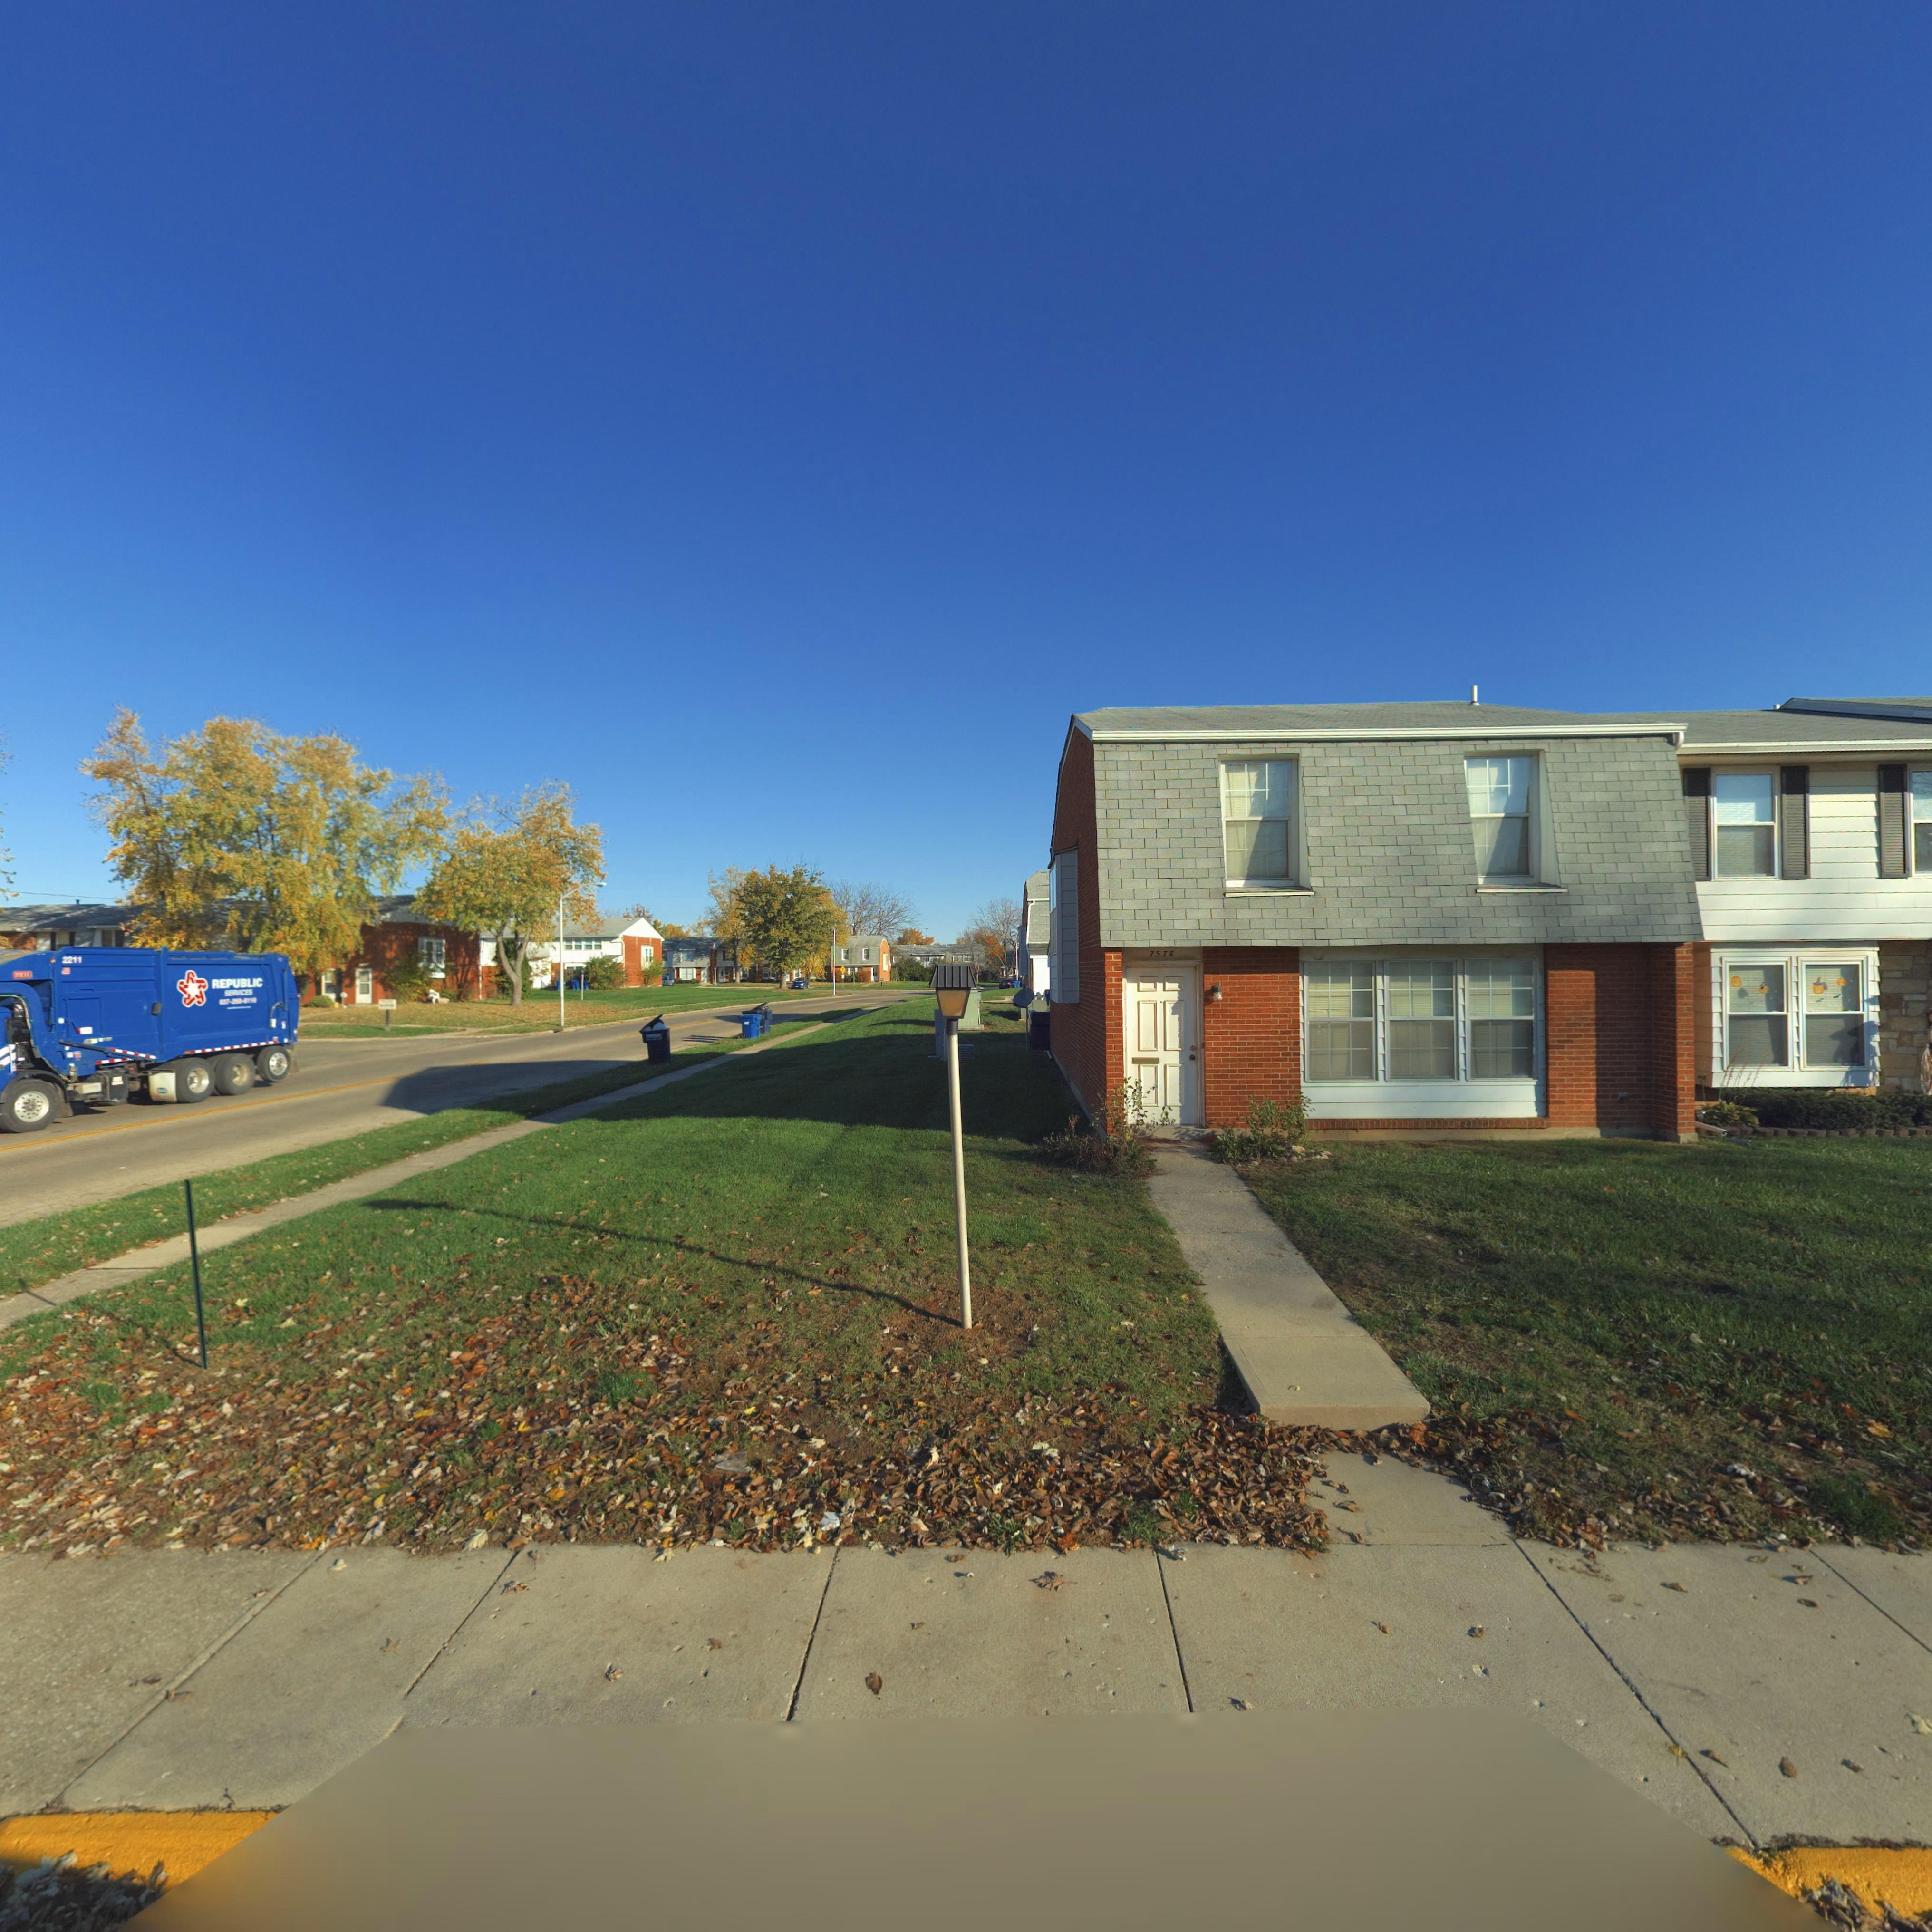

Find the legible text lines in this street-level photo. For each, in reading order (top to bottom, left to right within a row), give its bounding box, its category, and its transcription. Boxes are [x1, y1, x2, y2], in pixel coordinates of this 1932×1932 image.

[1149, 949, 1175, 958] StreetNumber: 7578
[209, 977, 264, 990] None: REPUBLIC
[221, 988, 255, 997] None: SERVICES
[218, 996, 258, 1005] None: ***-***-****